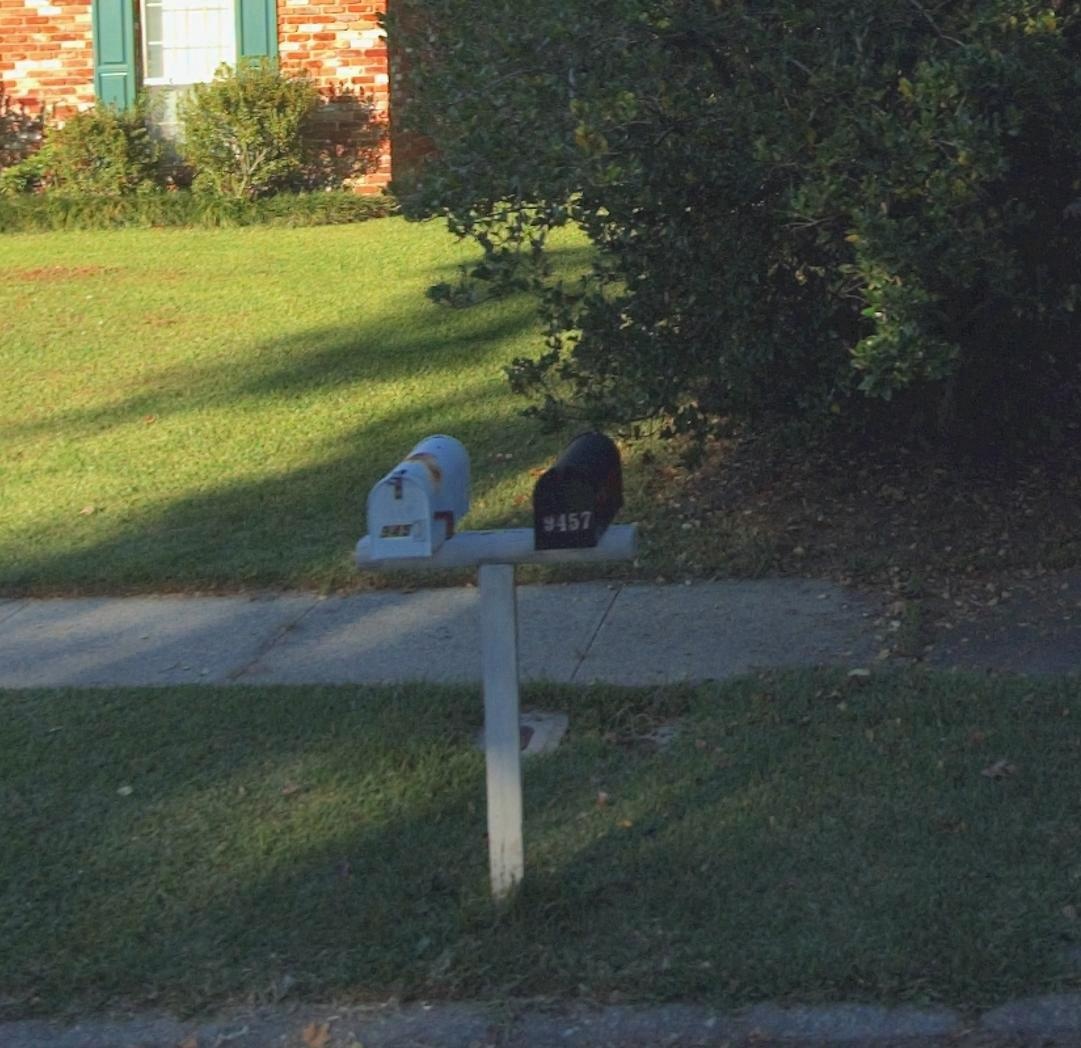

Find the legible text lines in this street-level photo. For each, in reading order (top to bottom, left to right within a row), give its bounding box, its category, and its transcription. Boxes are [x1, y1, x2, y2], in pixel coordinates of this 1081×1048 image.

[379, 523, 413, 538] StreetNumber: 945
[542, 510, 593, 533] StreetNumber: 9457